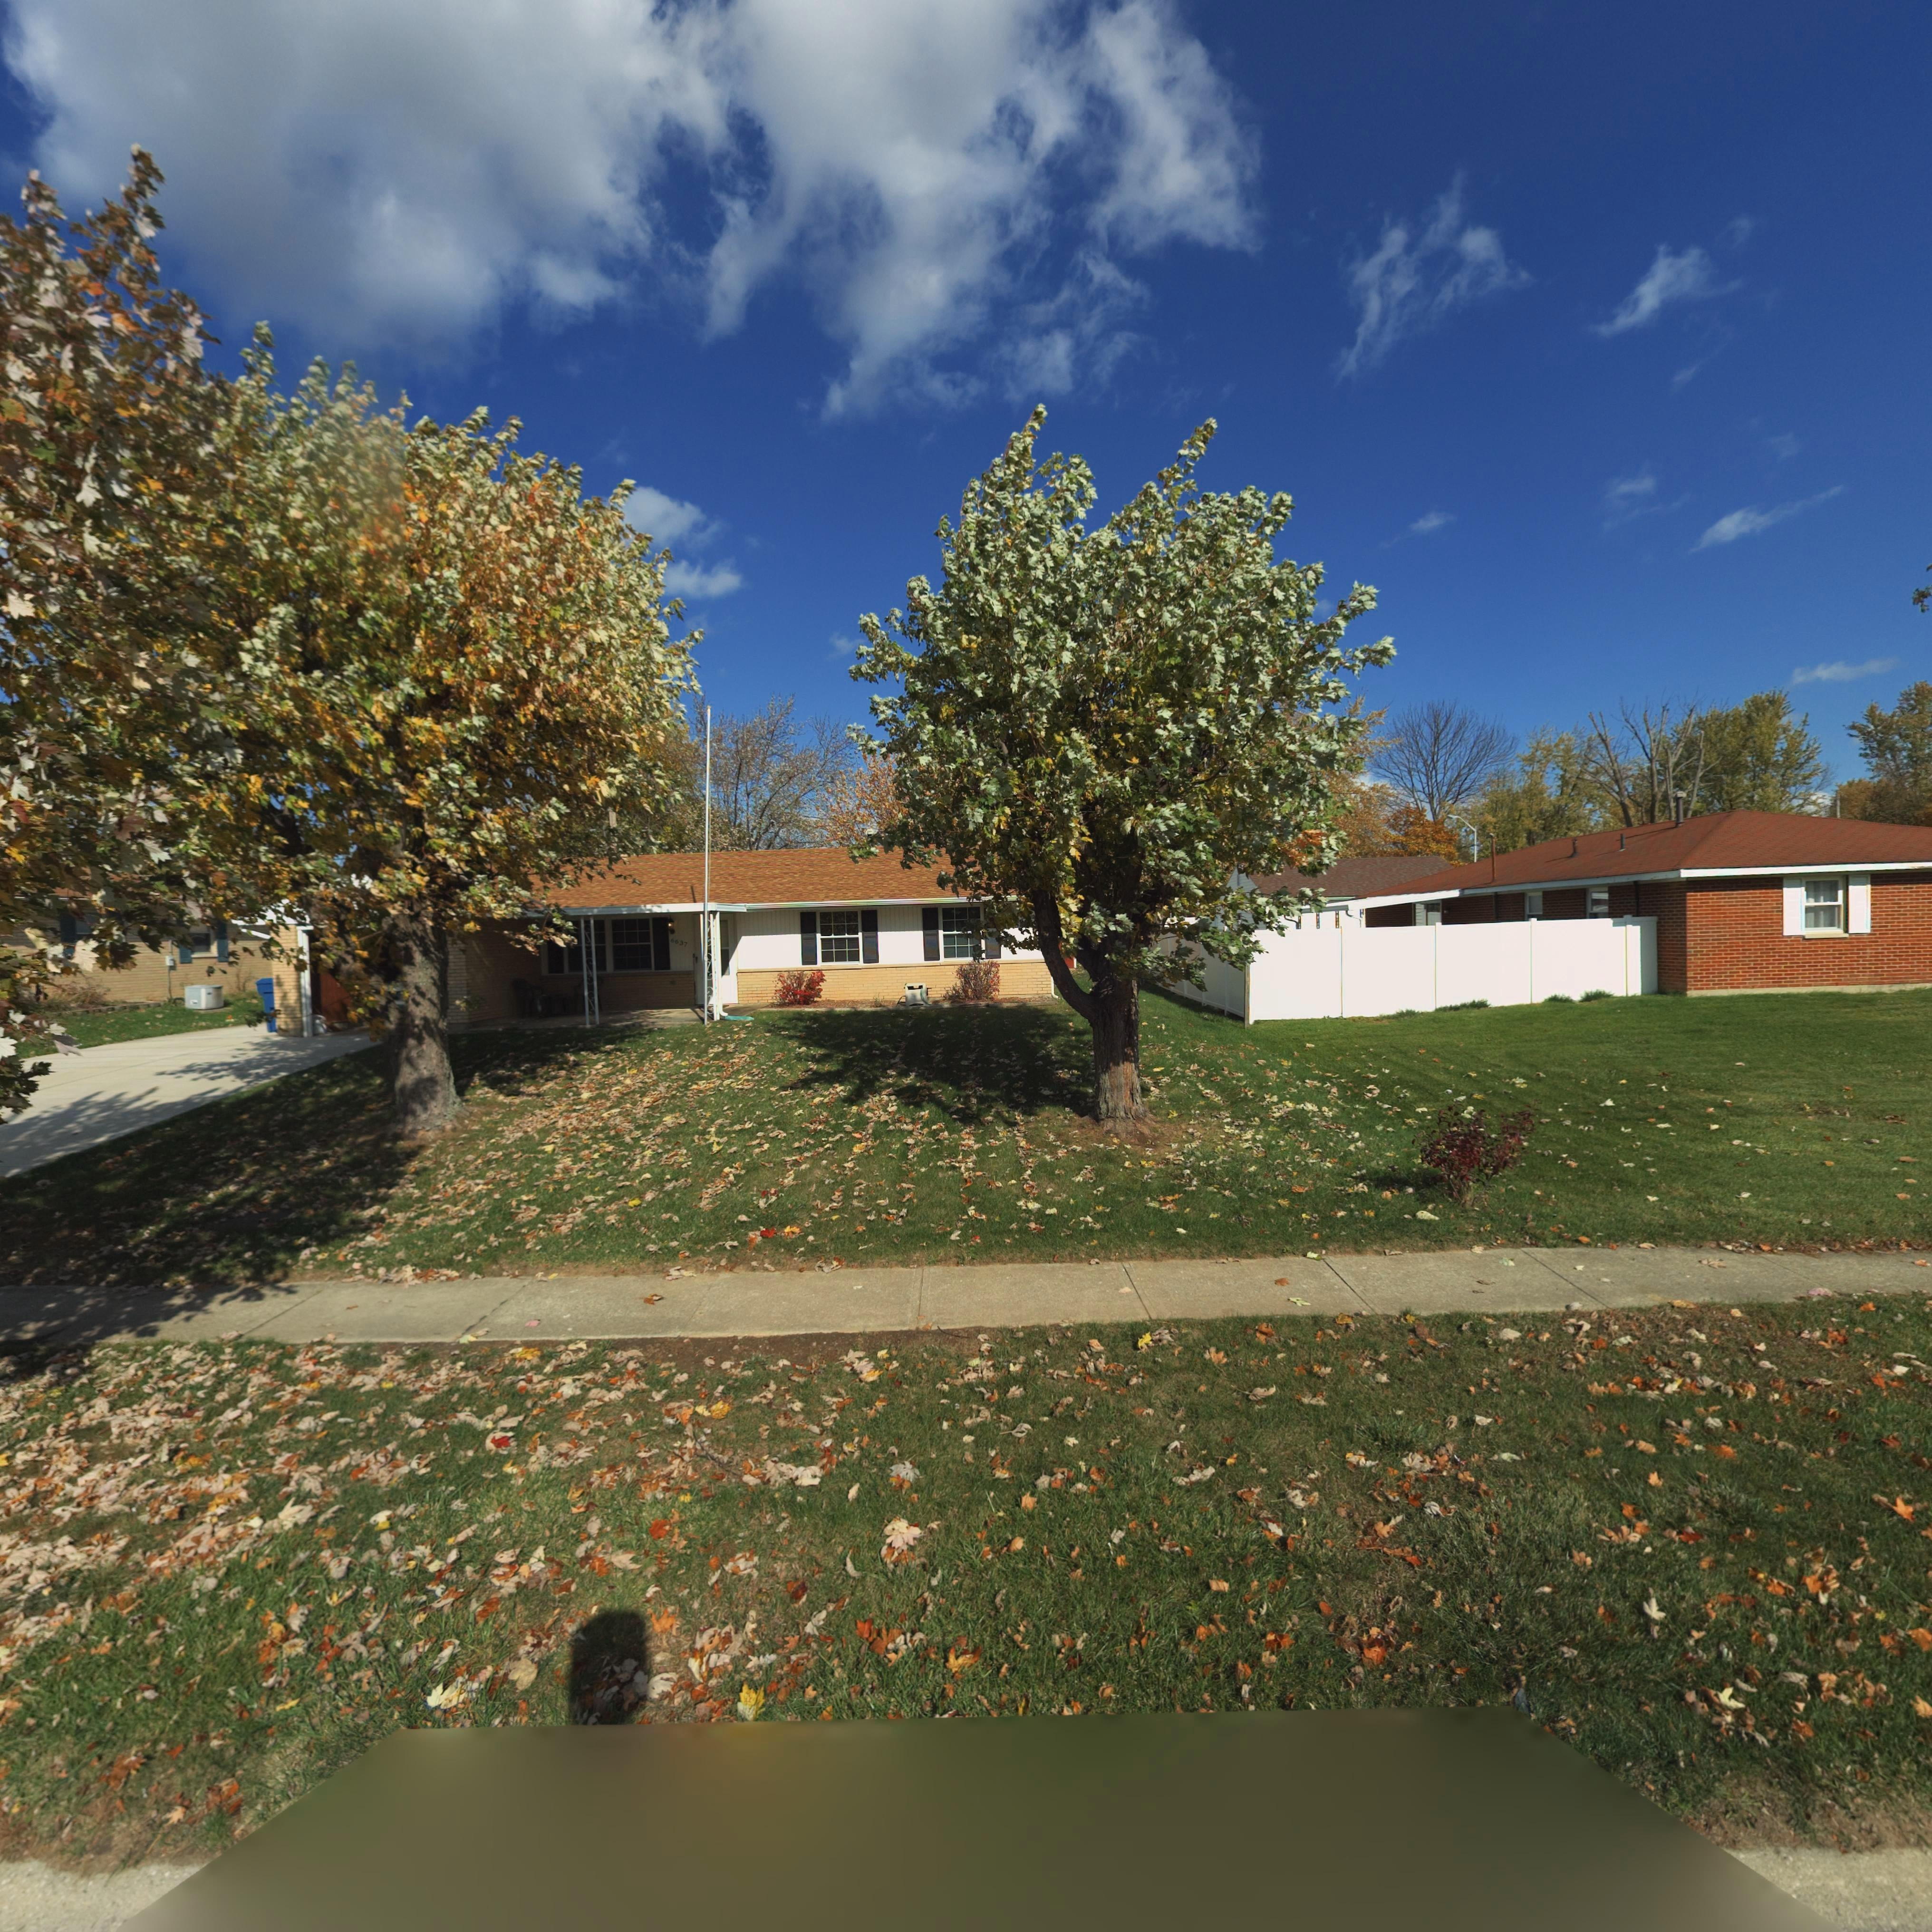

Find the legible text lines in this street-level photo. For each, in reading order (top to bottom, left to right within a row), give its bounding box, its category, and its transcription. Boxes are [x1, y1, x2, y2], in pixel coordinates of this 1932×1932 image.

[670, 937, 688, 948] StreetNumber: 6637